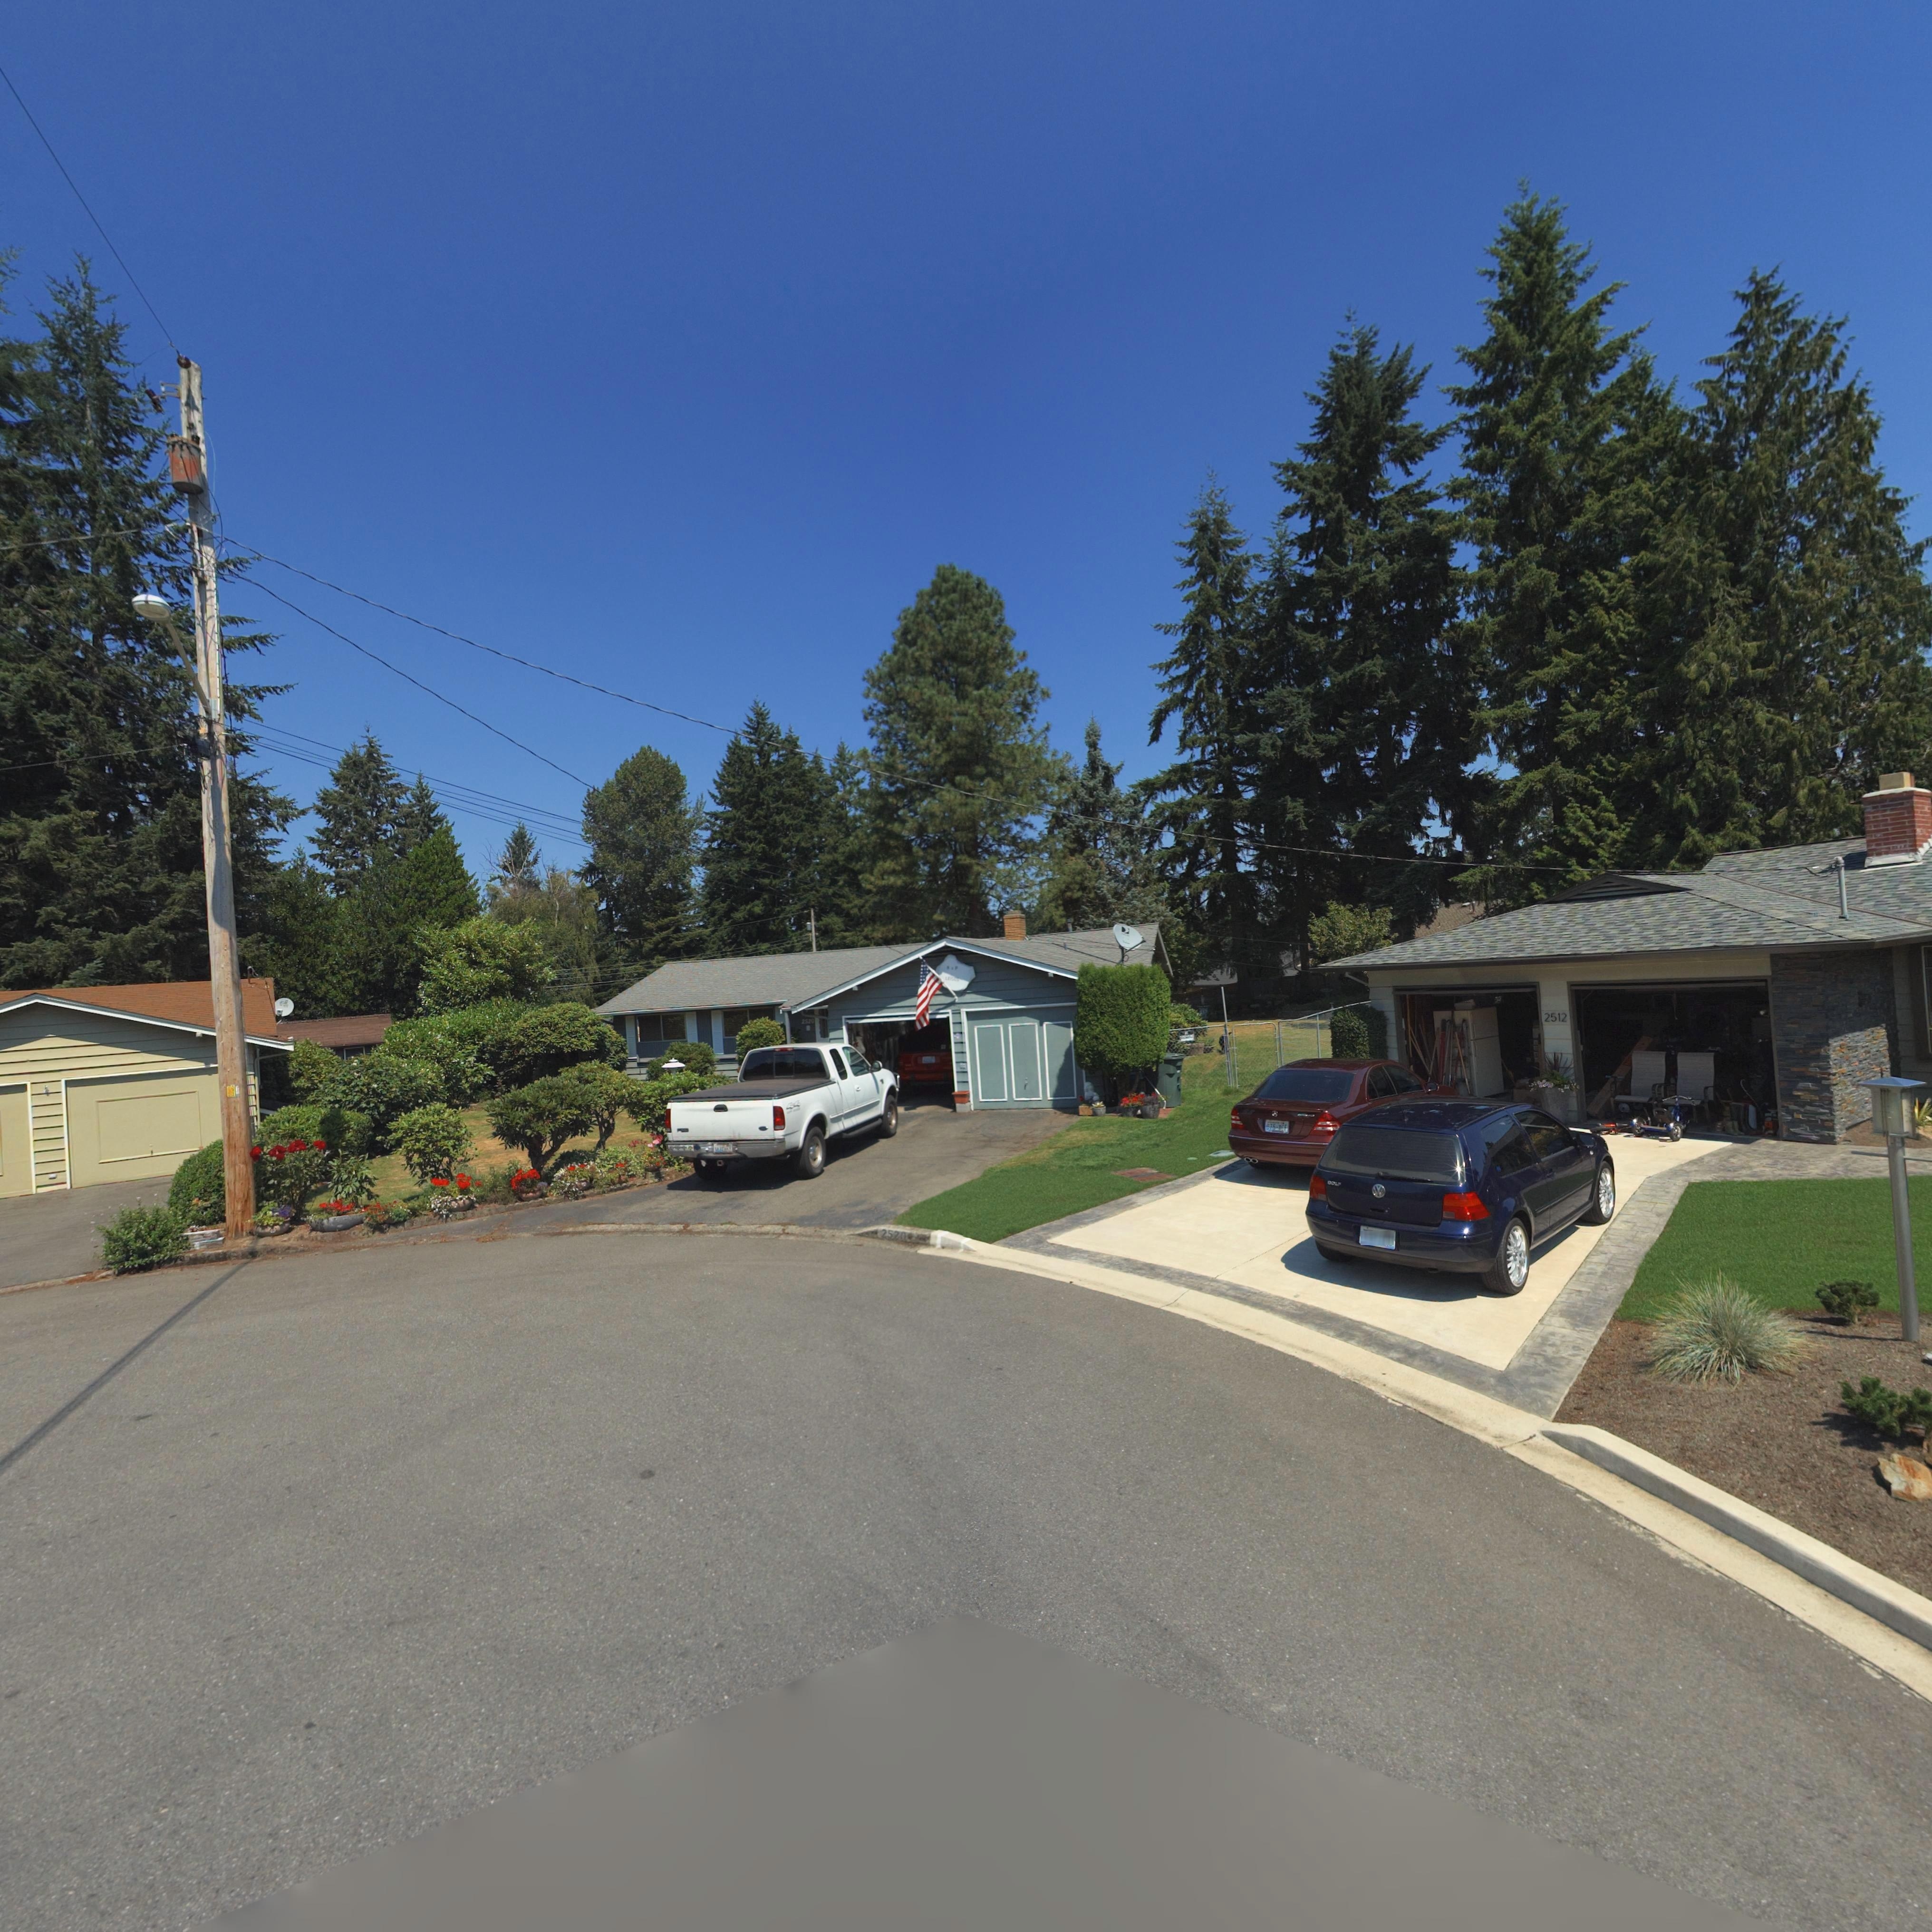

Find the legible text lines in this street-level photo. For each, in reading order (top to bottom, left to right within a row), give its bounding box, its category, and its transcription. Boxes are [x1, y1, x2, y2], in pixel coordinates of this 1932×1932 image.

[802, 1018, 814, 1024] StreetNumber: 2520
[1544, 1012, 1567, 1022] StreetNumber: 2512